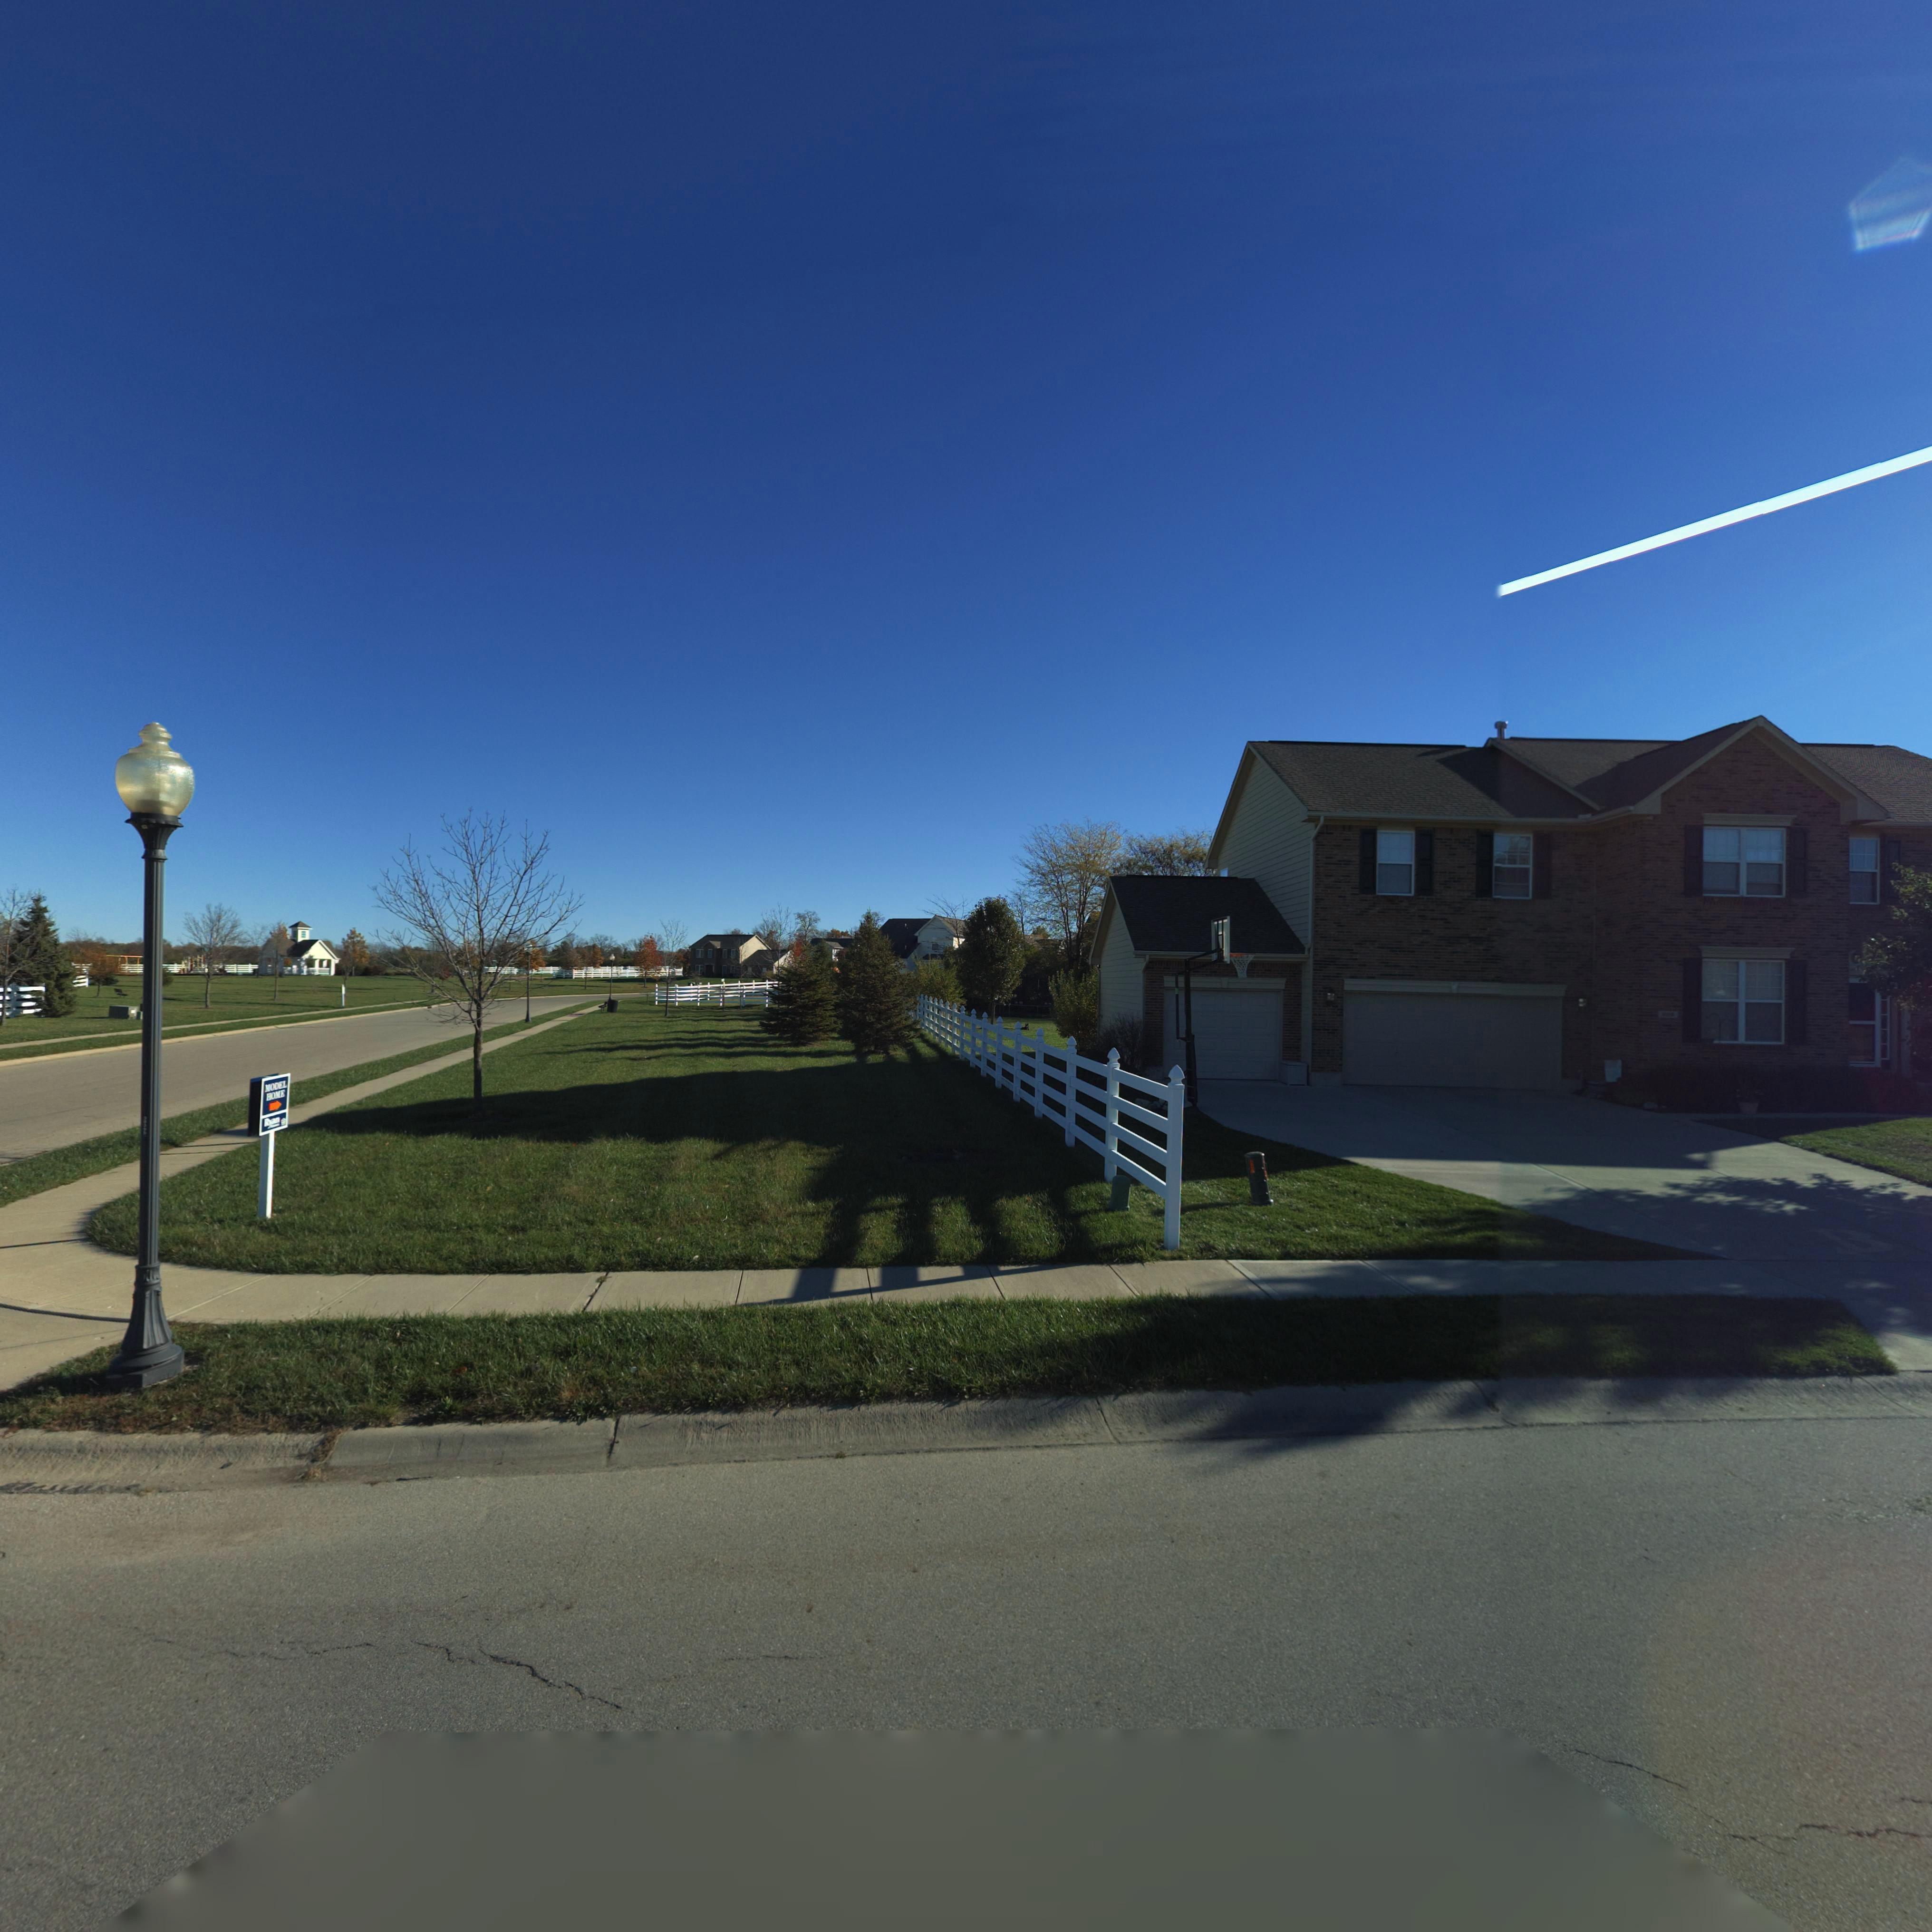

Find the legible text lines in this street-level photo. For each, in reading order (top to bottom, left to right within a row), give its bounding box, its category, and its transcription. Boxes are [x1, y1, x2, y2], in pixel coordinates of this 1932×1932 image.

[1662, 1011, 1675, 1017] StreetNumber: 206
[263, 1079, 287, 1094] None: MODEL
[265, 1089, 285, 1101] None: HOME